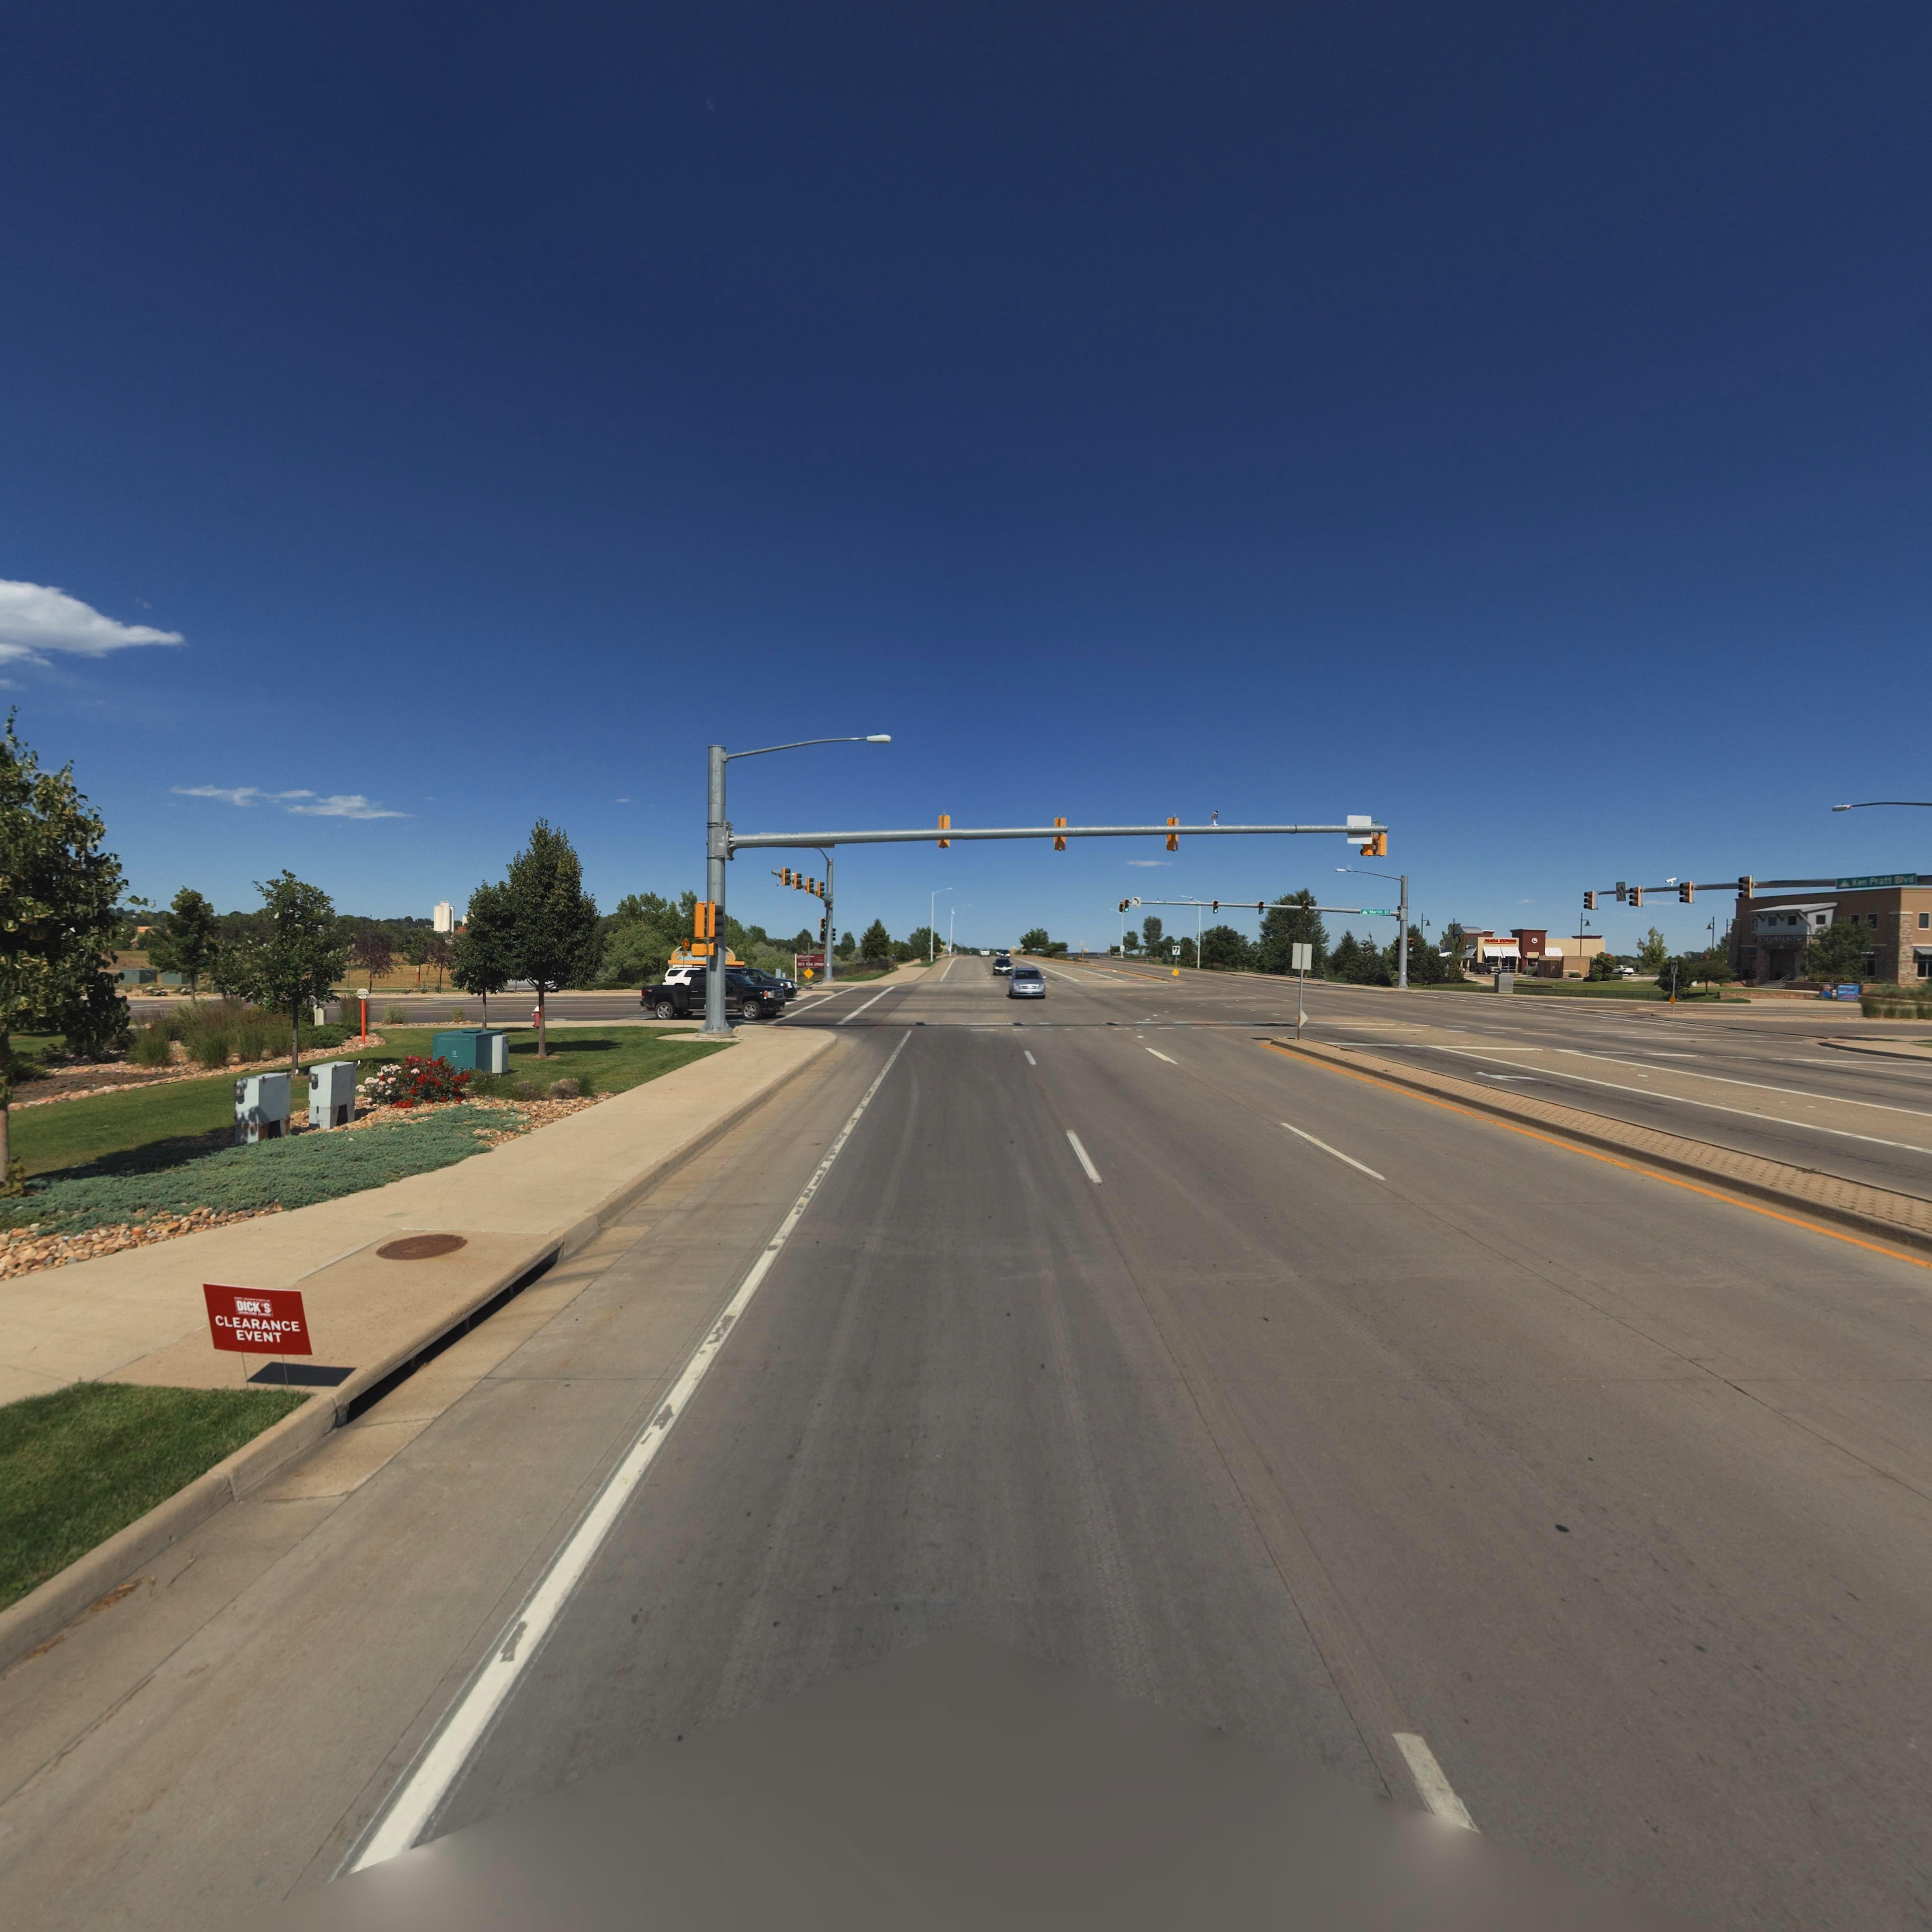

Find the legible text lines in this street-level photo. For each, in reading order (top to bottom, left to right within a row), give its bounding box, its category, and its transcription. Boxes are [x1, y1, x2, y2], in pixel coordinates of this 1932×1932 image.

[1850, 874, 1914, 887] StreetName: Ken Pratt Blvd
[1369, 909, 1389, 914] StreetName: Martin St
[1483, 938, 1517, 942] BusinessName: PANDA EXPRESS
[1756, 935, 1803, 943] BusinessName: SUNFLOWER BANK